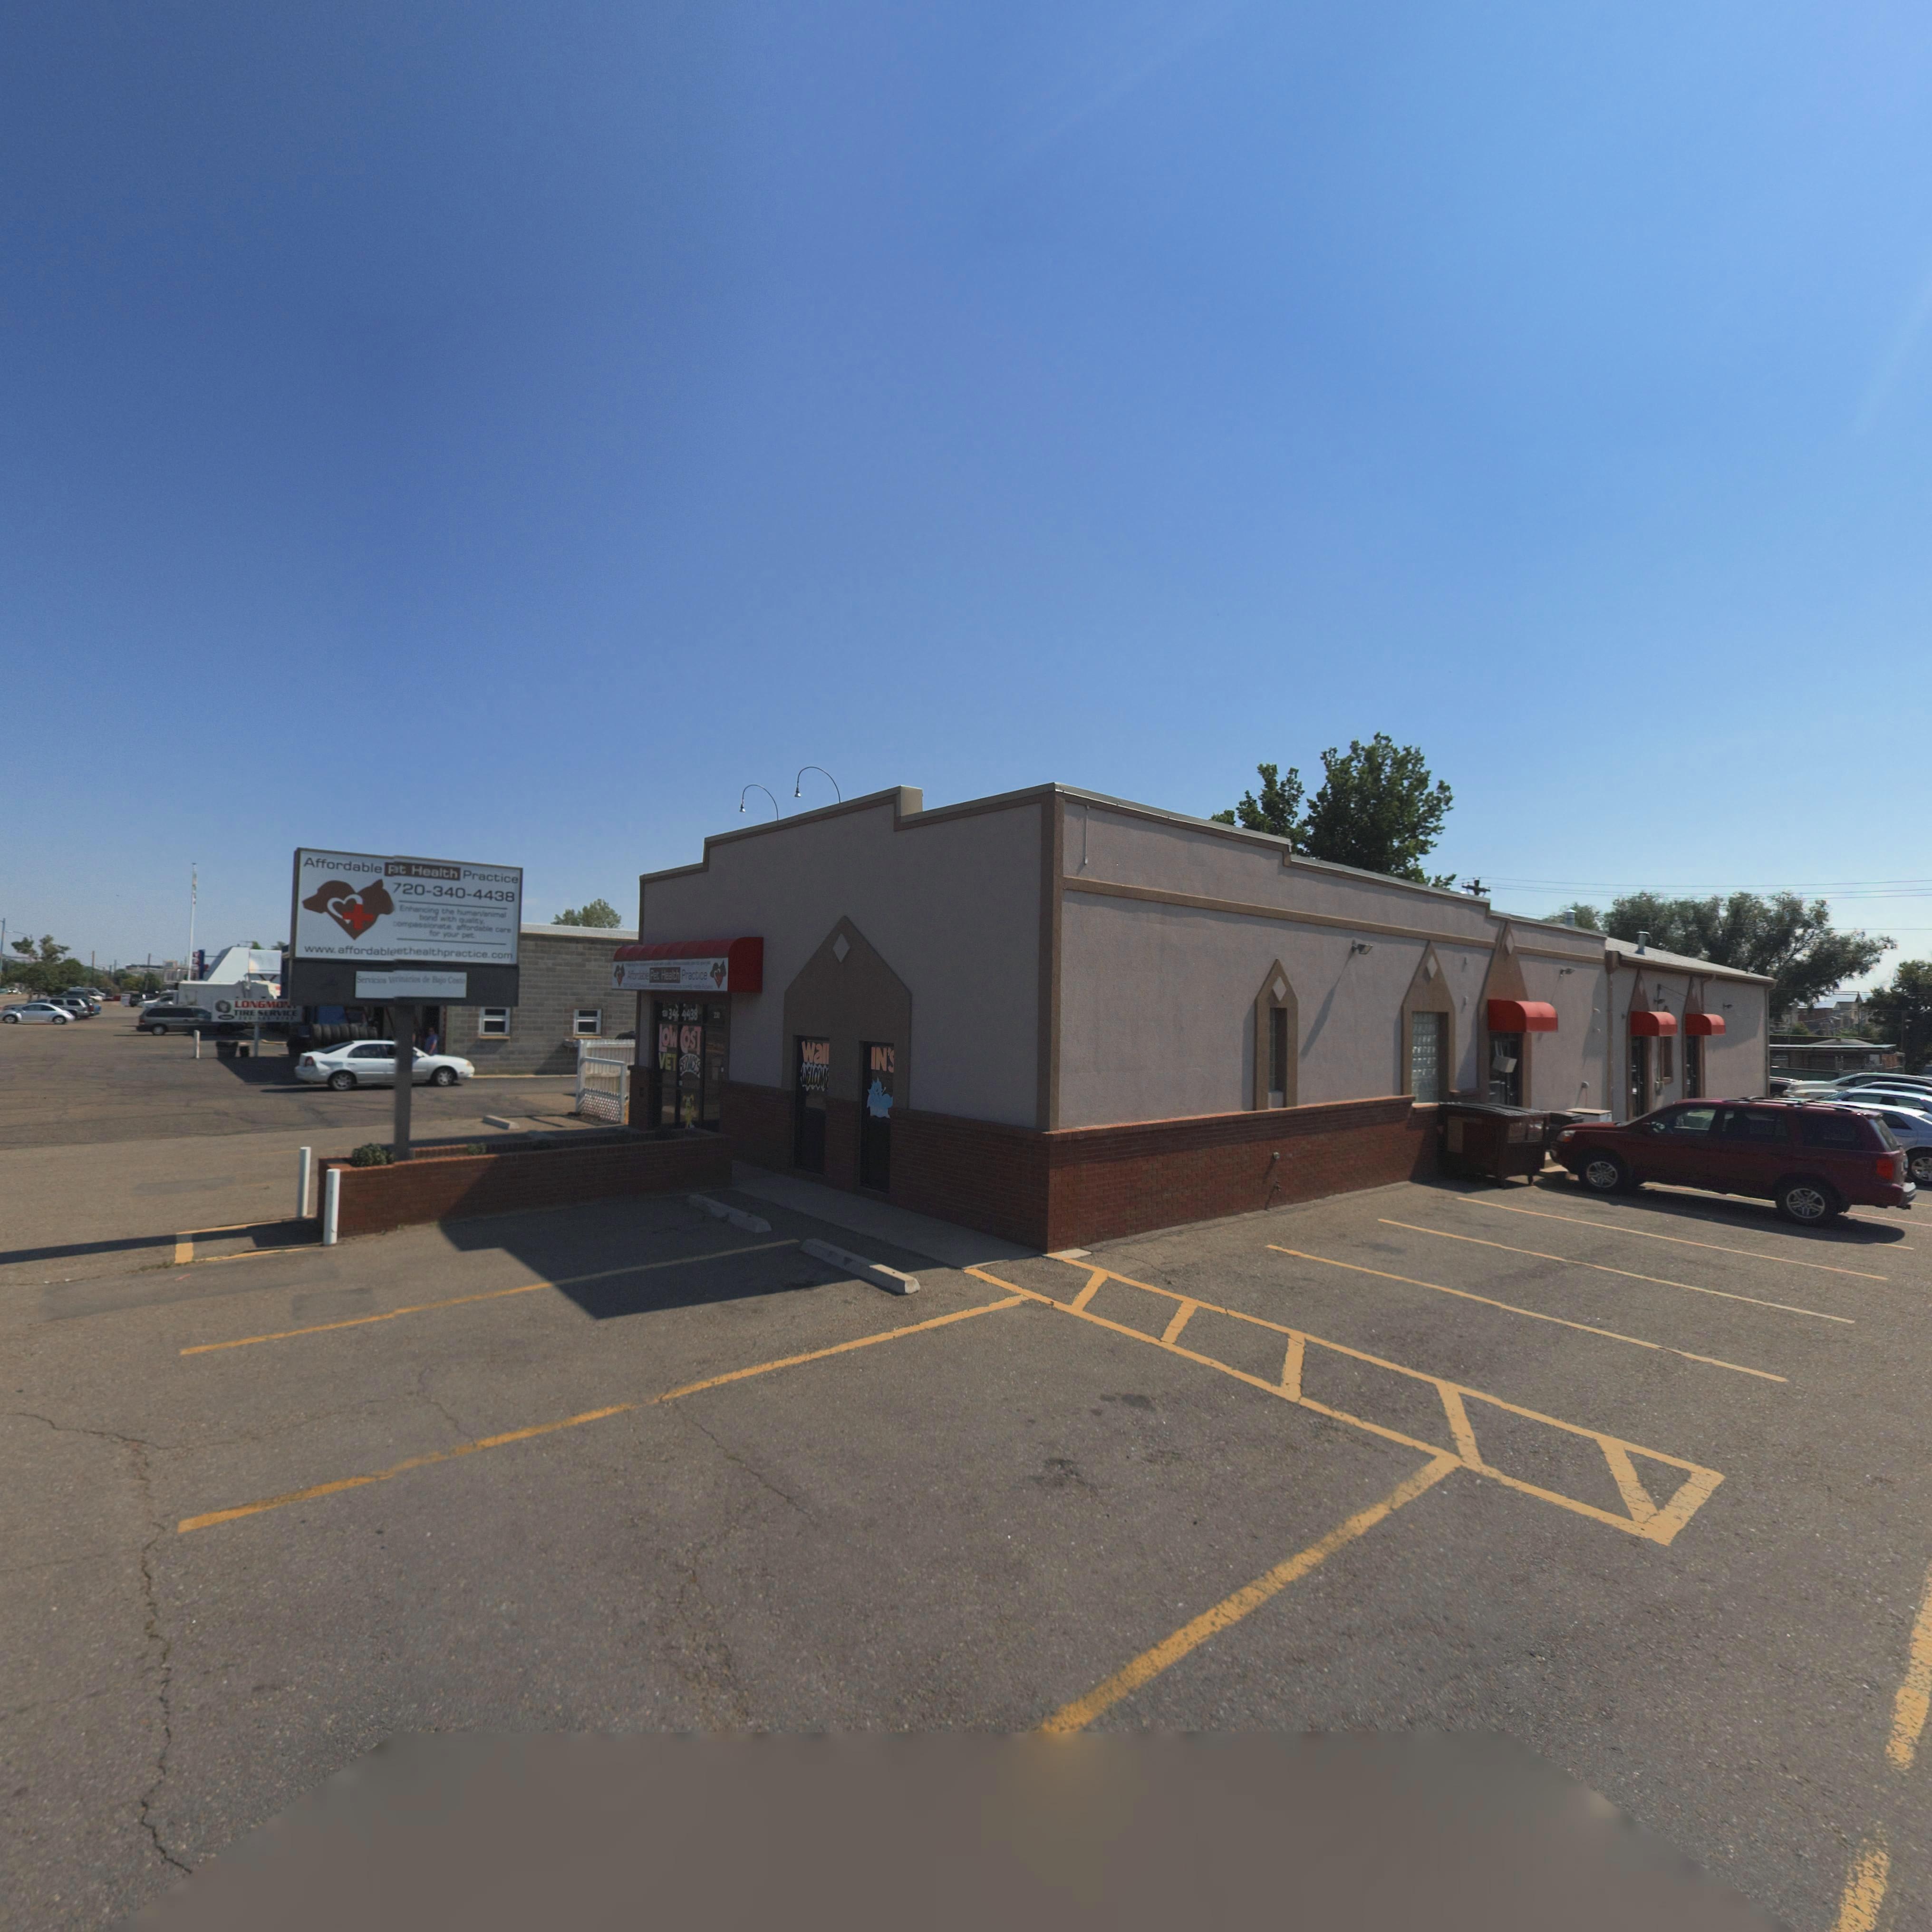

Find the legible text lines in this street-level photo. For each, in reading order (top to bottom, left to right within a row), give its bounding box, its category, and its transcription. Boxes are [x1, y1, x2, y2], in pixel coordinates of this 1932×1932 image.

[301, 856, 519, 885] BusinessName: Affordable **t Health Practice
[626, 968, 708, 981] BusinessName: A********e Pet Health Practice
[234, 1000, 297, 1009] BusinessName: LONGMO**
[232, 1009, 298, 1017] BusinessName: TIRE SERTVICE
[713, 1011, 720, 1019] StreetNumber: 230